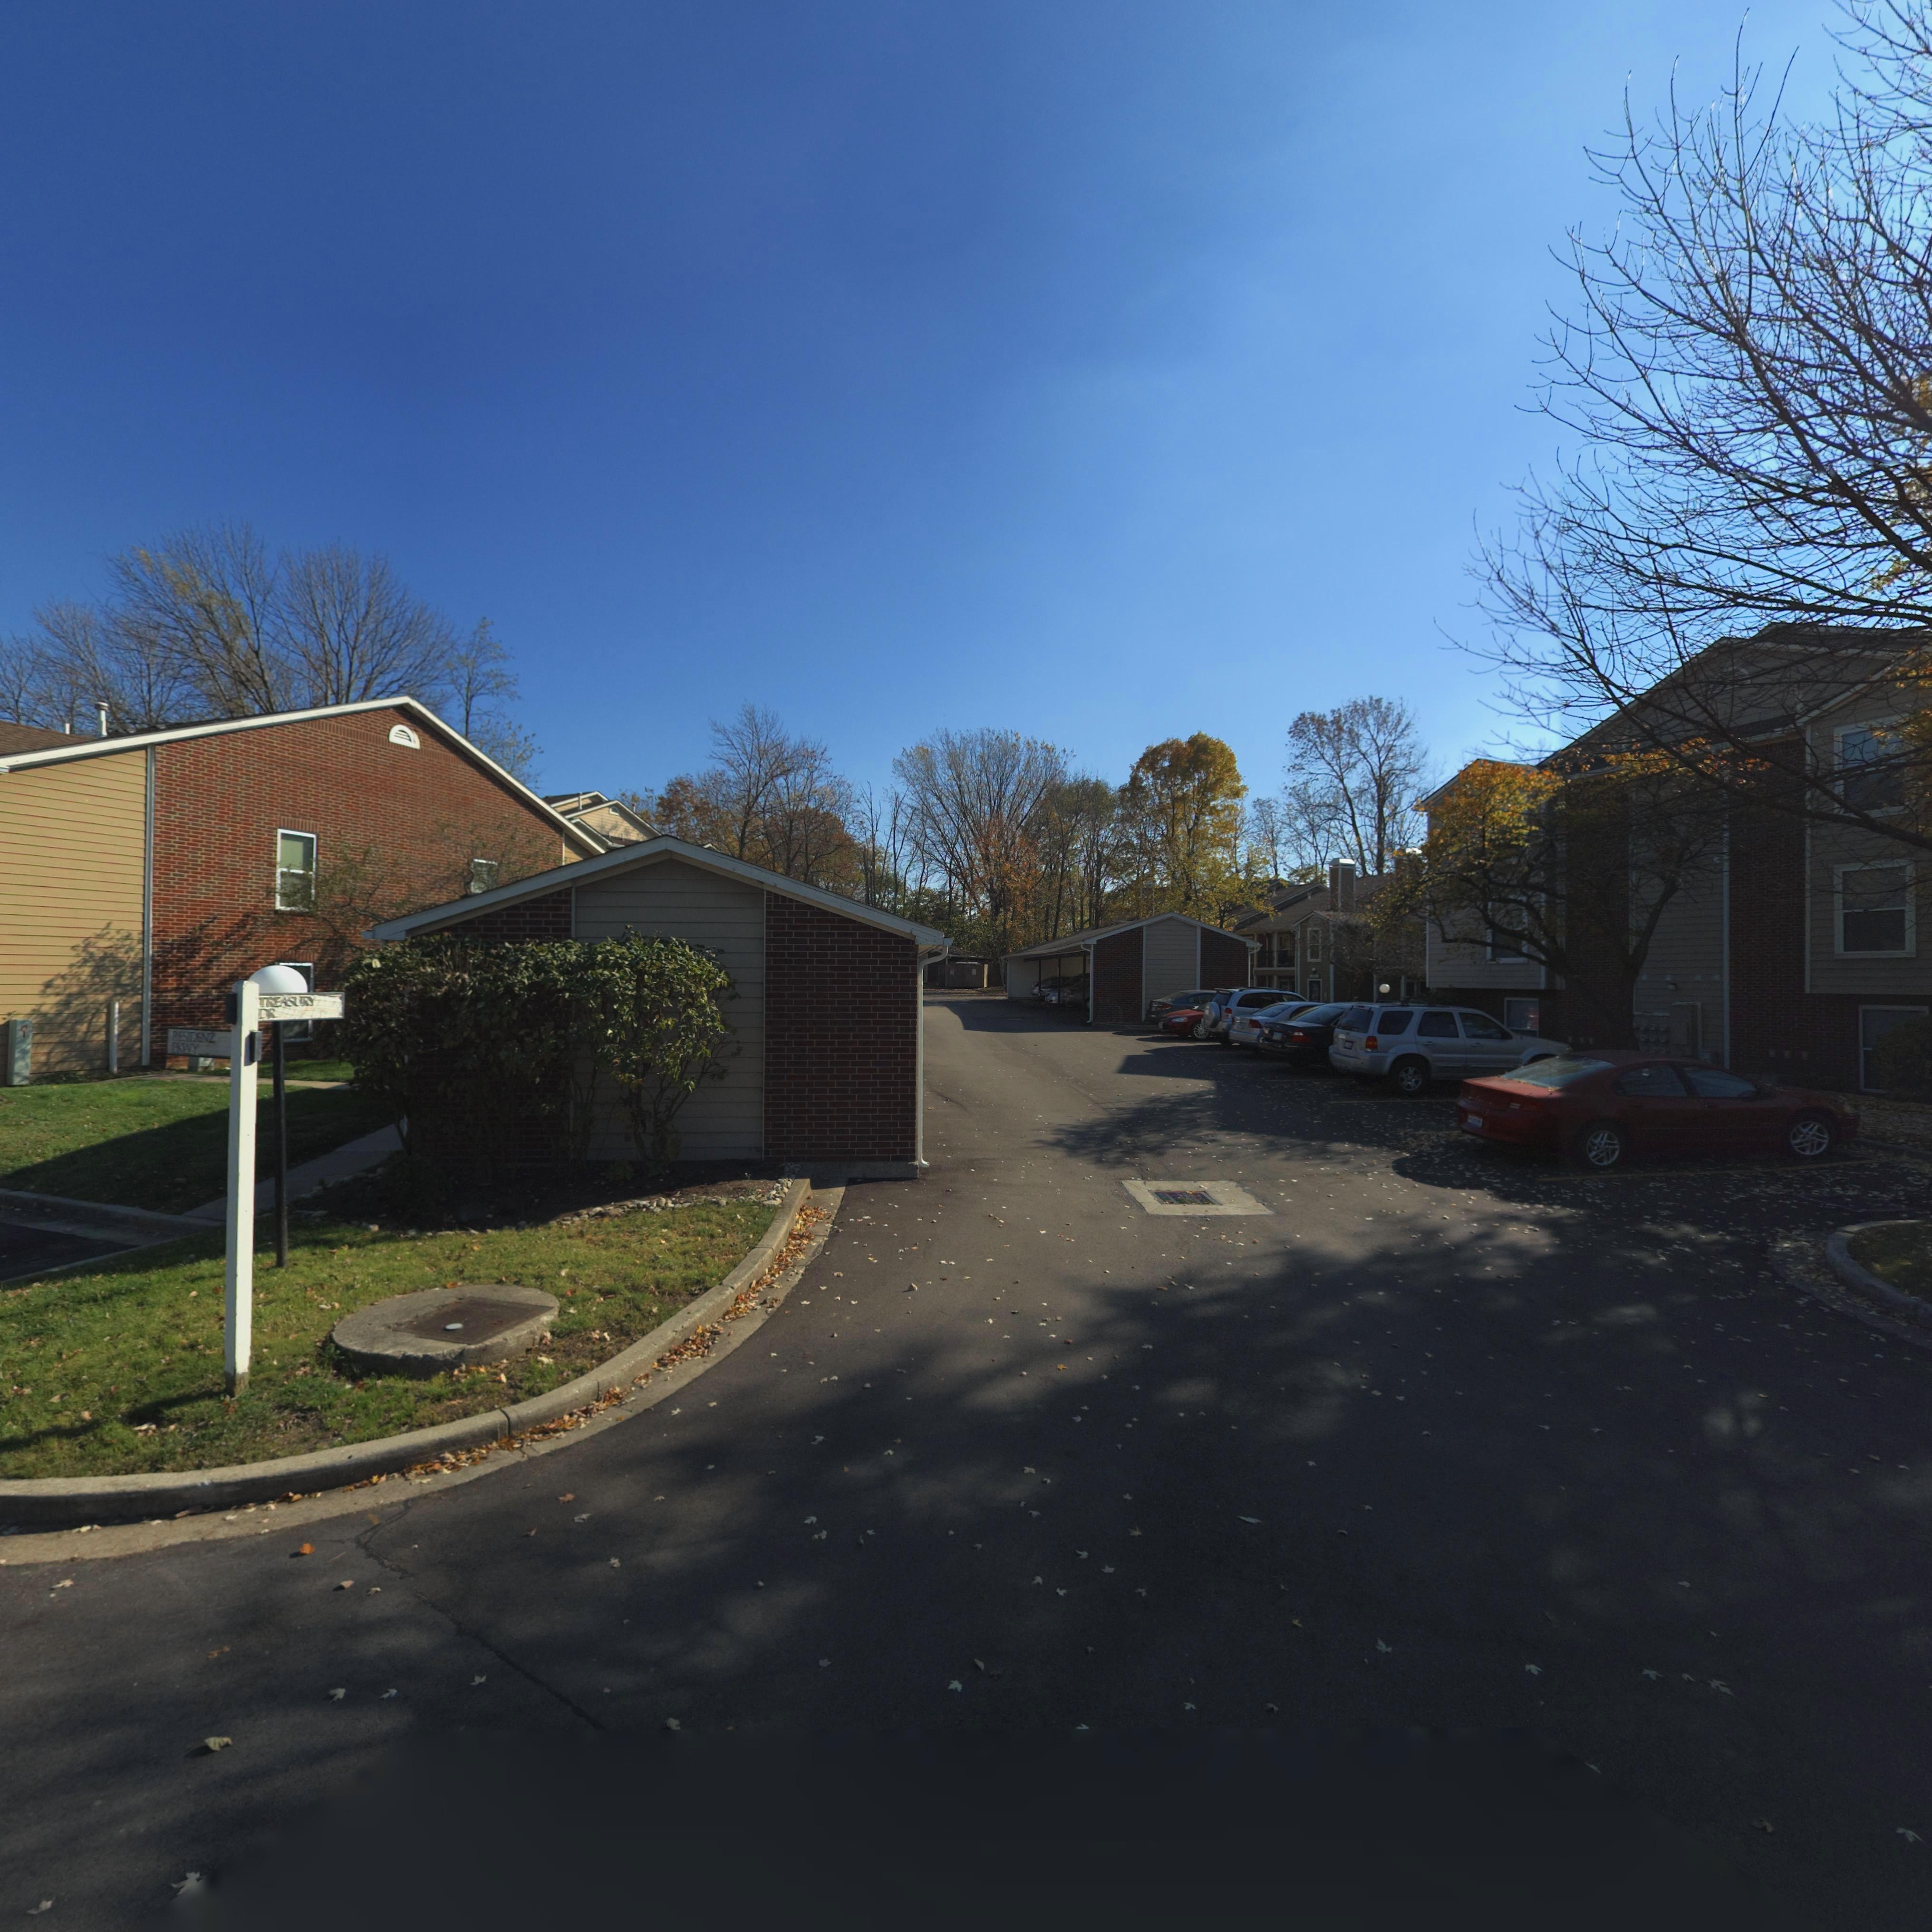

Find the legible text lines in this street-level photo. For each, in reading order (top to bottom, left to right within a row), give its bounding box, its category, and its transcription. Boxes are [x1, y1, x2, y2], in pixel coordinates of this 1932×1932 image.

[258, 995, 317, 1008] StreetName: TREASURY
[258, 1007, 278, 1020] StreetName: DR
[171, 1030, 218, 1044] StreetName: RESIDENZ
[171, 1041, 200, 1055] StreetName: PRWY